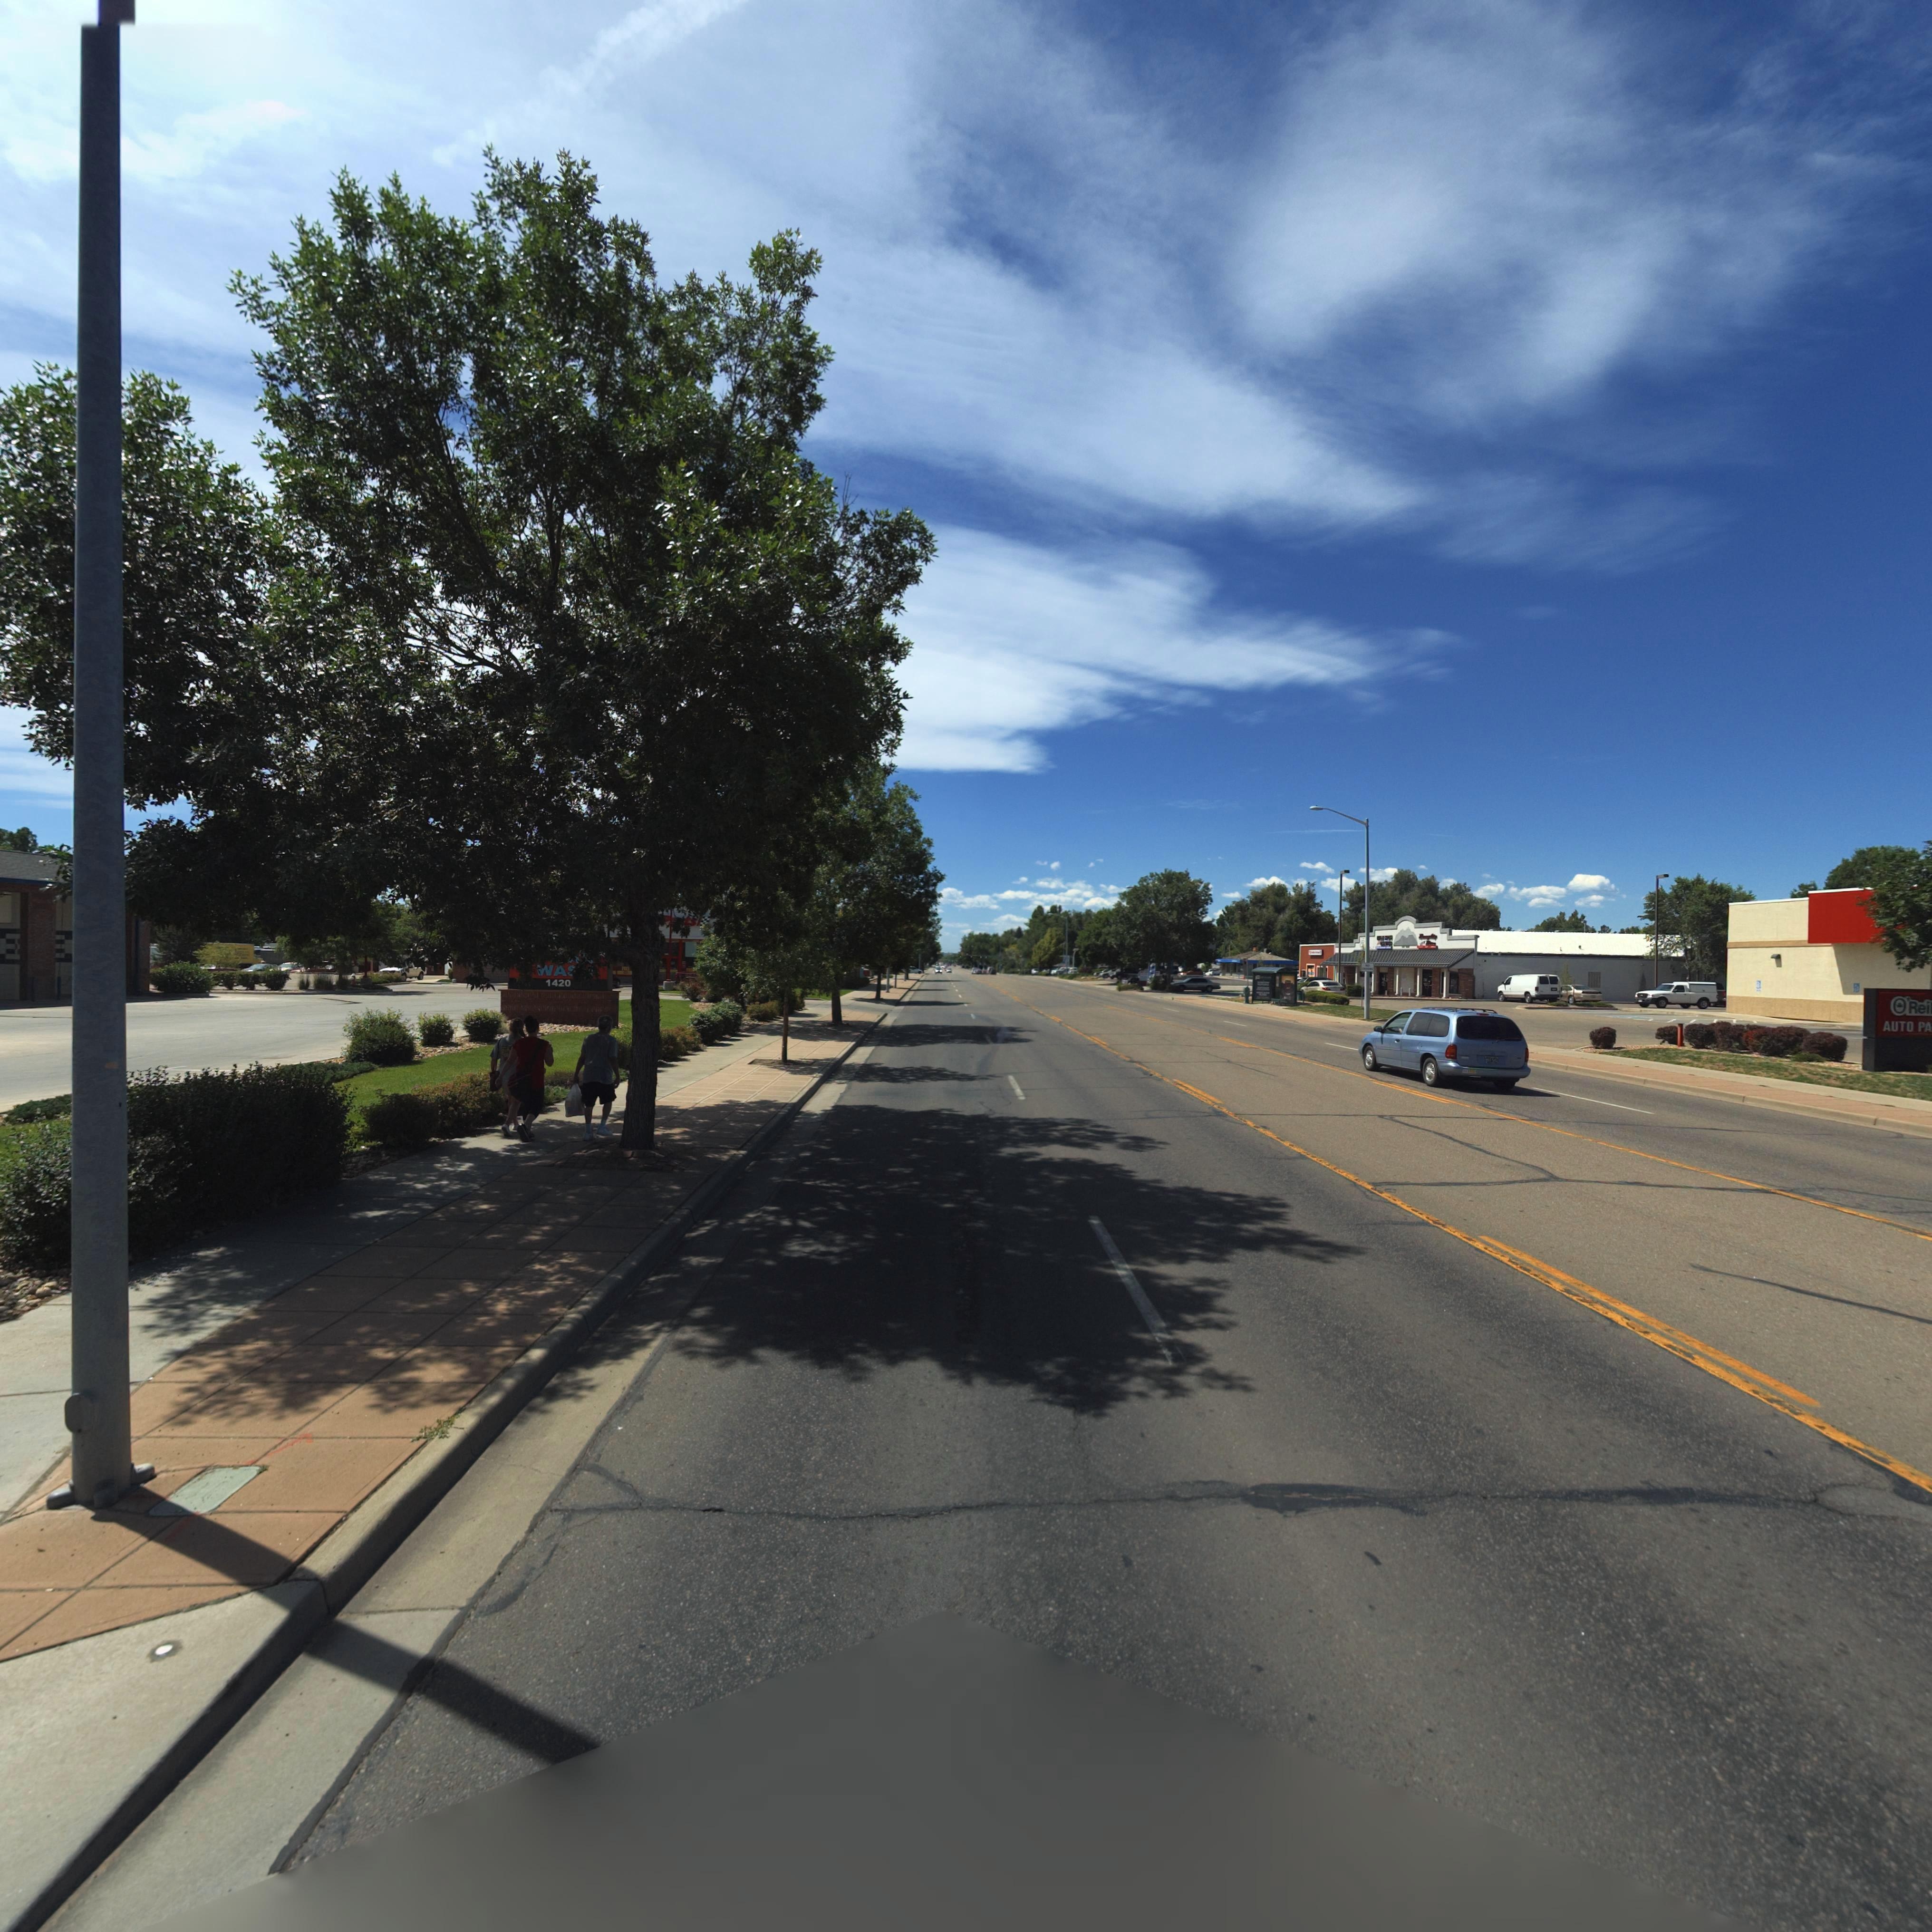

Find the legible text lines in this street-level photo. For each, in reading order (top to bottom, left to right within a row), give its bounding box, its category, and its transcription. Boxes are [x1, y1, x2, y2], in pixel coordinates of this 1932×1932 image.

[535, 964, 568, 977] BusinessName: WA
[545, 979, 571, 987] StreetNumber: 1420
[1892, 996, 1930, 1014] BusinessName: *'Rei
[1883, 1020, 1931, 1033] BusinessName: AUTO PA